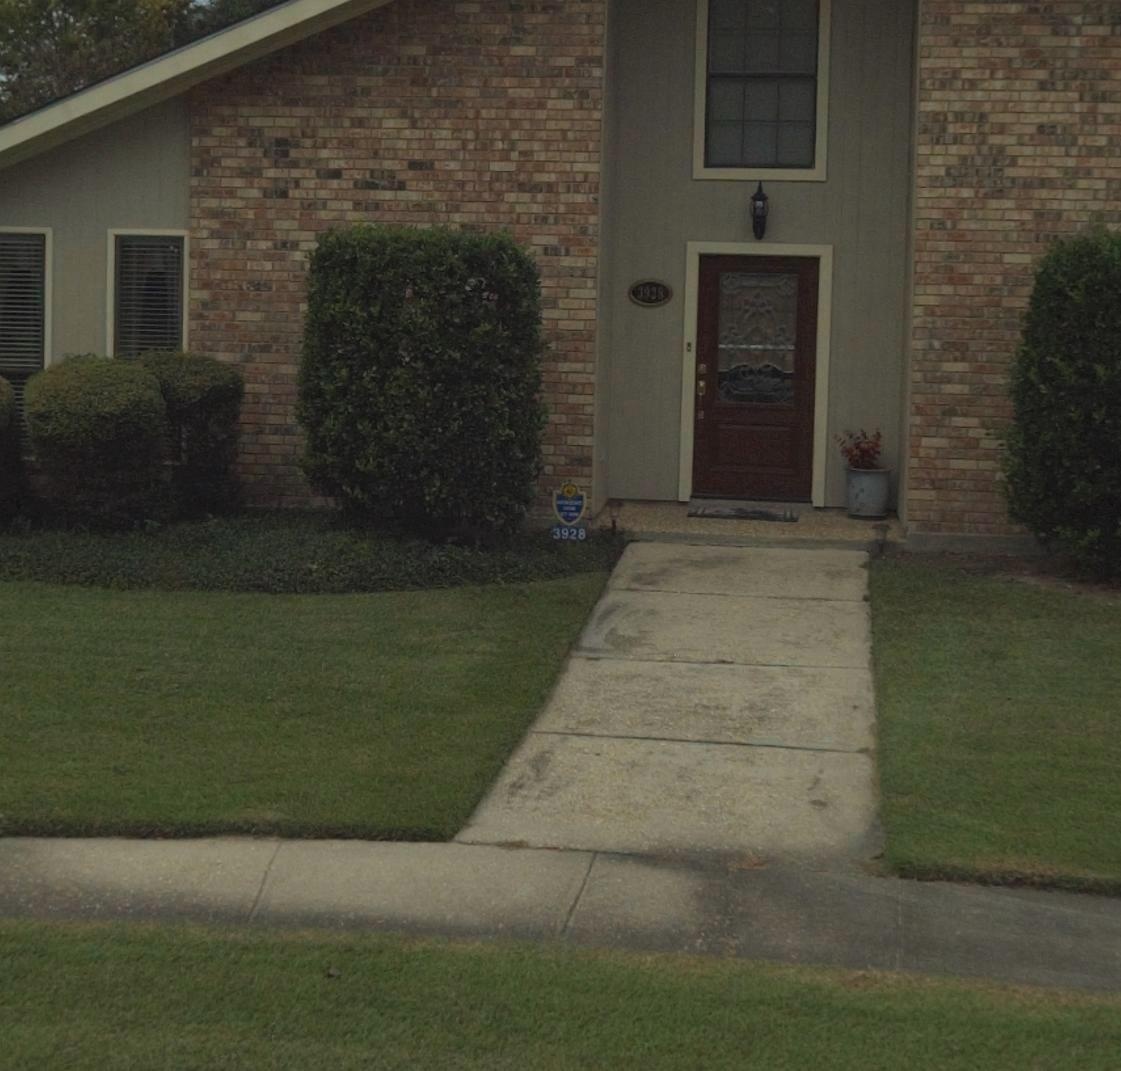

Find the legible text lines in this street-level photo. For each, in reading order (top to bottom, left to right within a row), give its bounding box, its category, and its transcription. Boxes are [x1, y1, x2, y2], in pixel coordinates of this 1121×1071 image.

[637, 286, 665, 300] None: 3928
[551, 527, 586, 540] StreetNumber: 3928